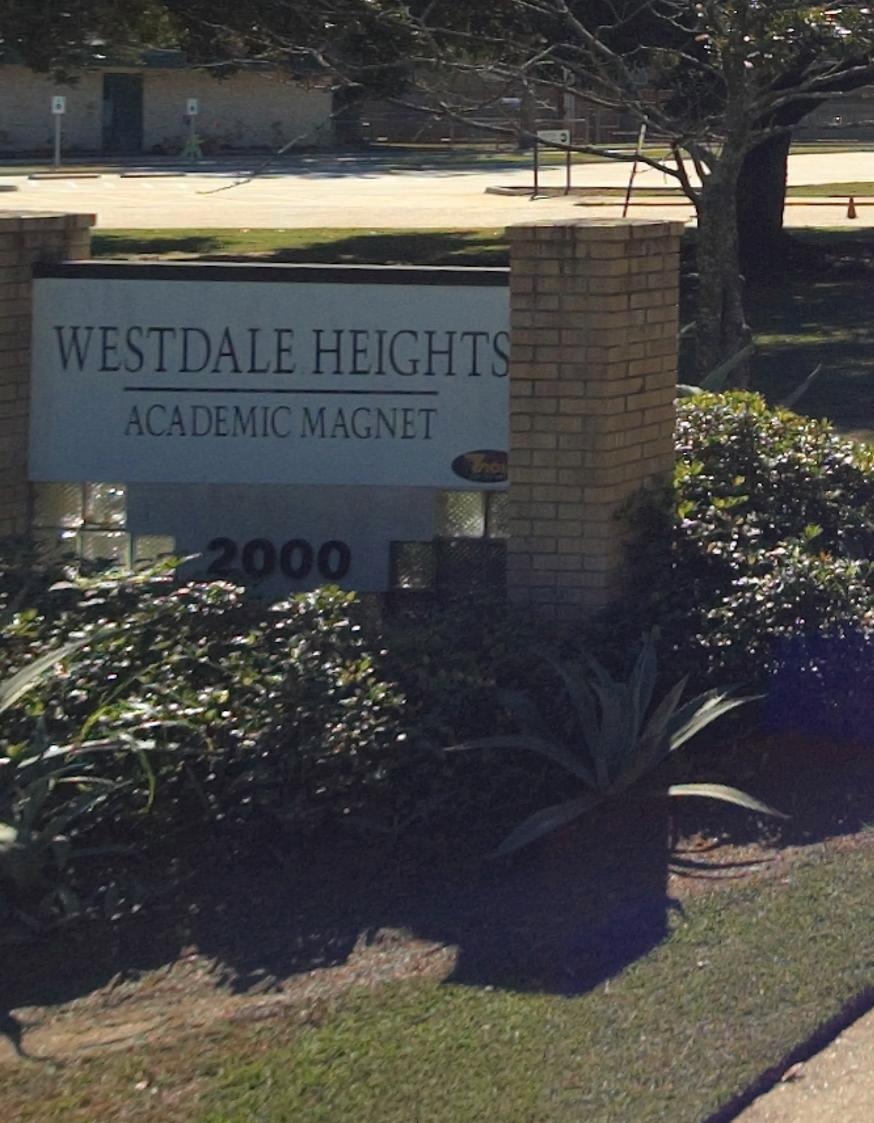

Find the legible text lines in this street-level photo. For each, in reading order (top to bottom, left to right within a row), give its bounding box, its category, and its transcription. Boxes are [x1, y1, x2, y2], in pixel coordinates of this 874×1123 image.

[48, 322, 513, 381] BusinessName: WESTDALE HEIGHTS
[119, 398, 442, 443] None: ACADEMIC MAGNET
[487, 460, 503, 477] None: o
[202, 534, 358, 583] StreetNumber: 2000